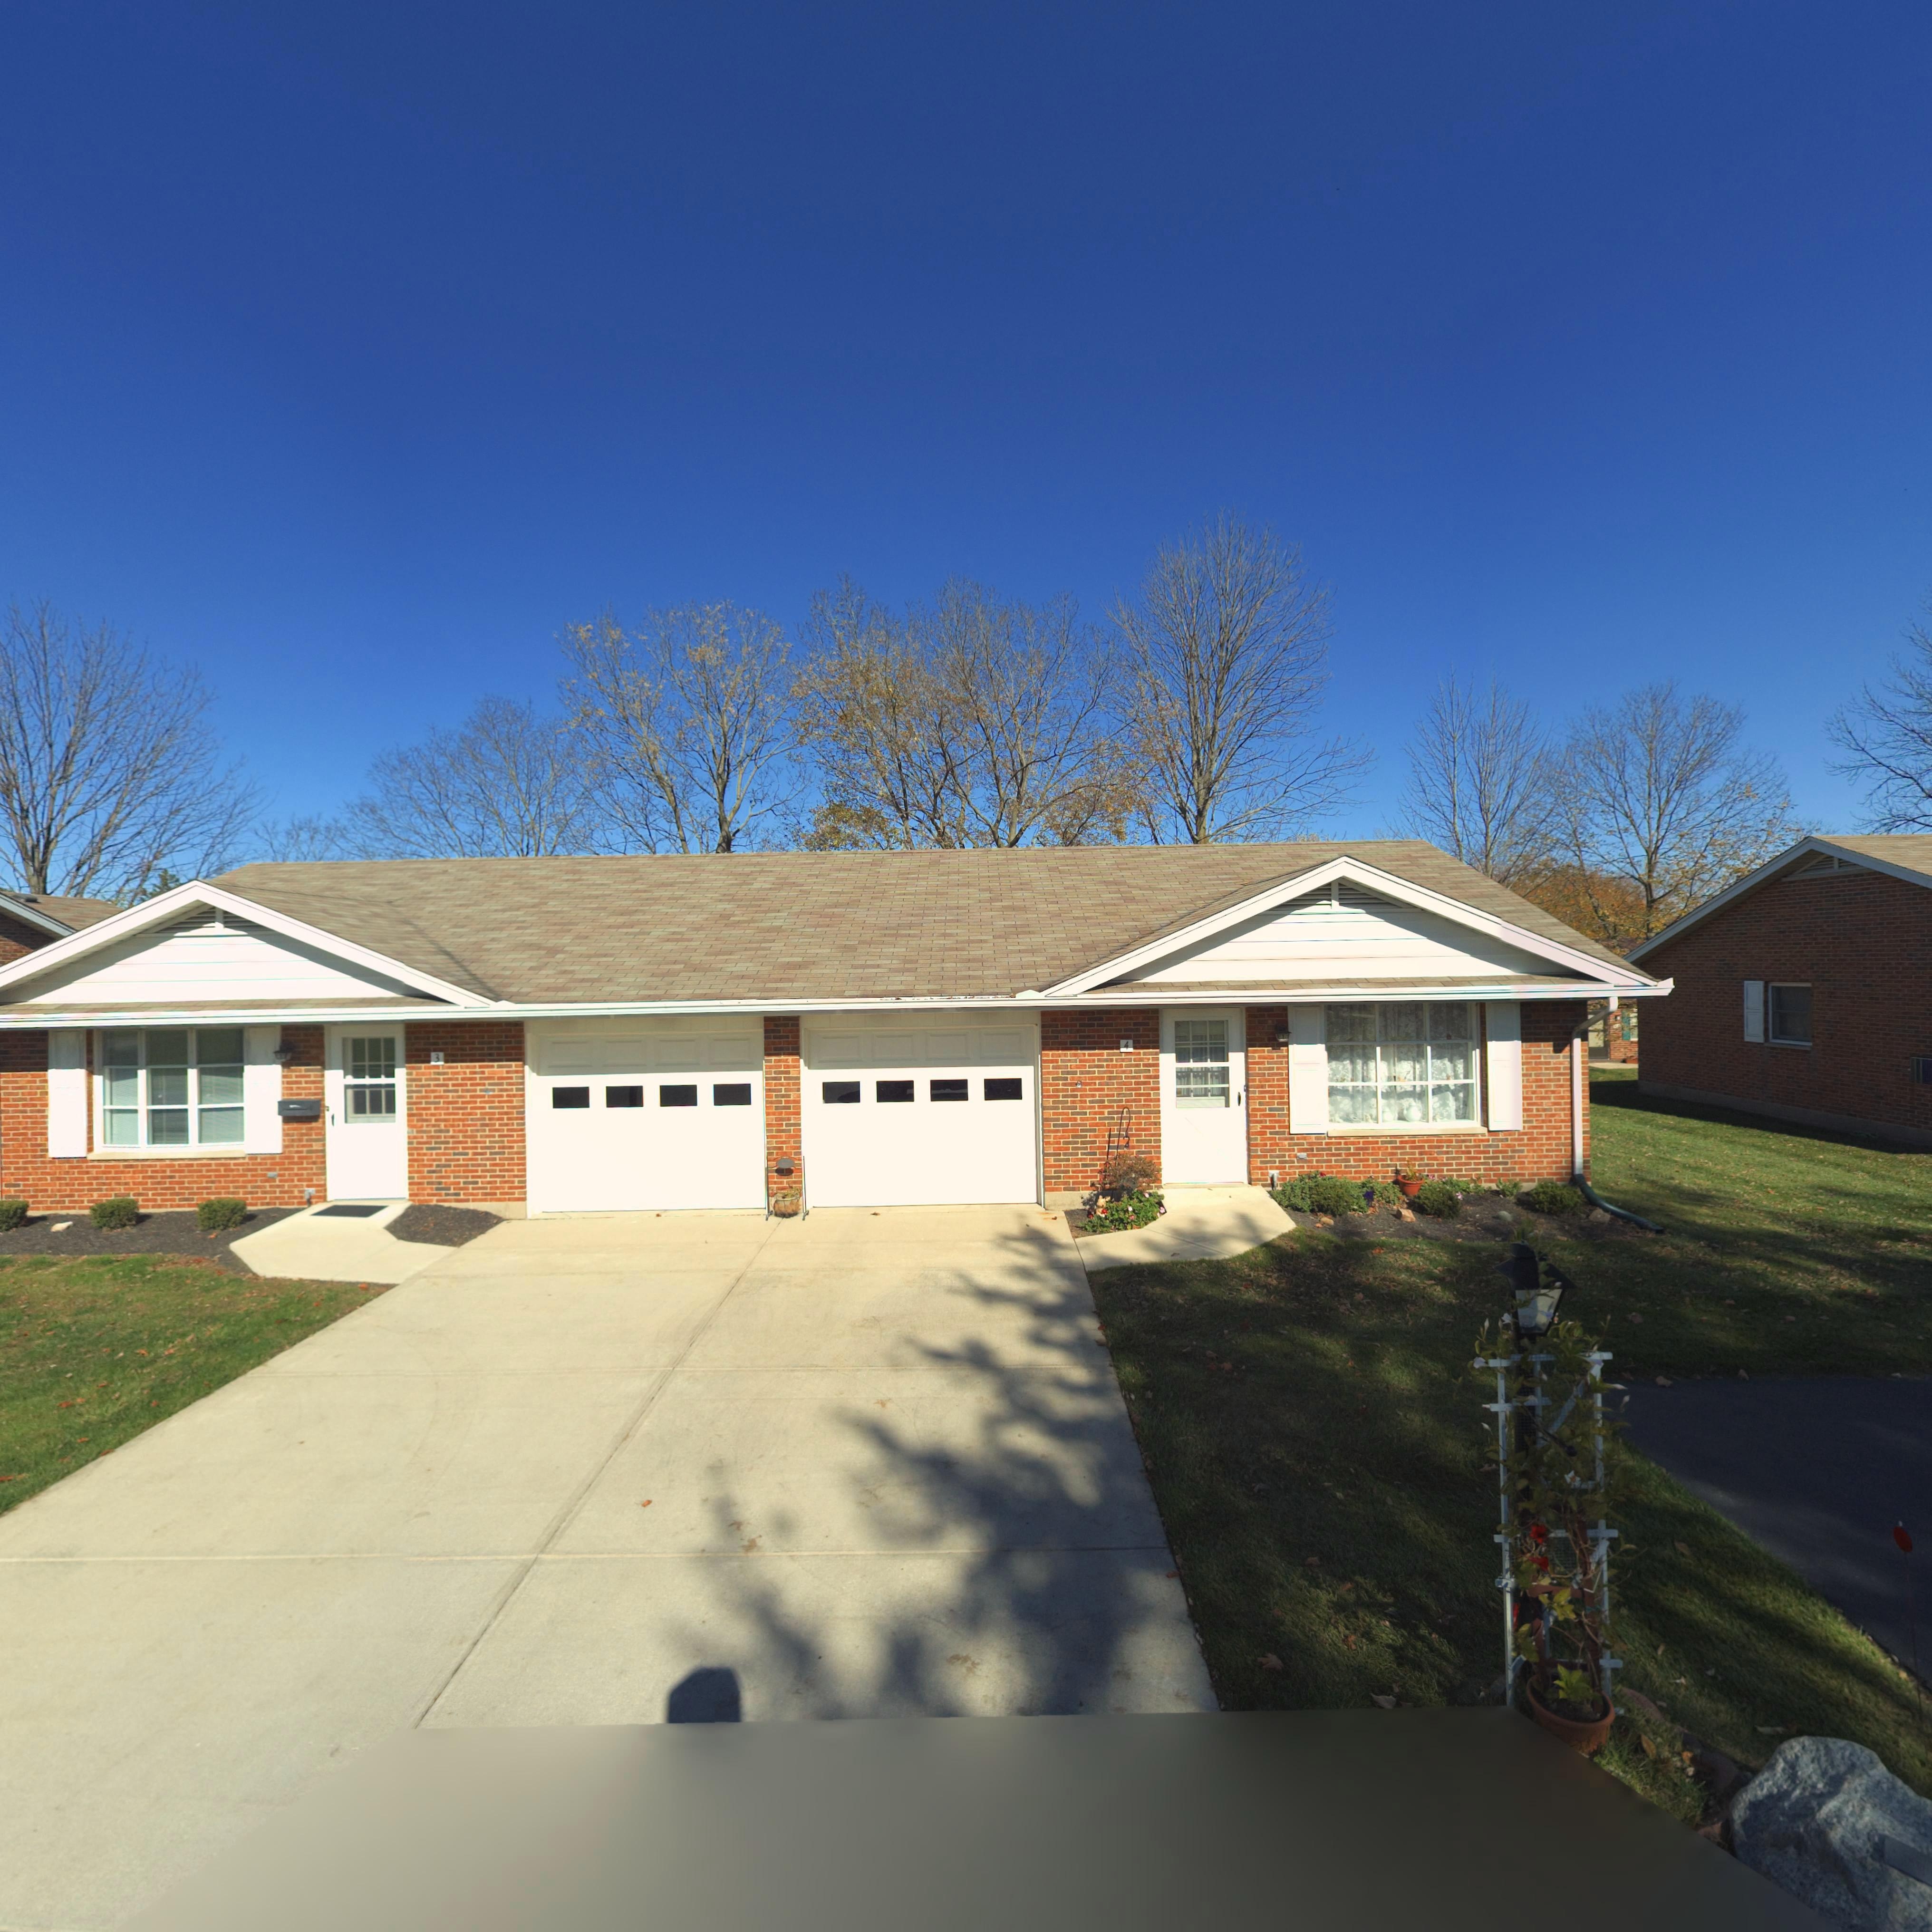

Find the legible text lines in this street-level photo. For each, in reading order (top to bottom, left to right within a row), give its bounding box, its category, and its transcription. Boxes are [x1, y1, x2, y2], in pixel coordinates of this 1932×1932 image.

[1123, 1040, 1130, 1050] StreetNumber: 4
[433, 1052, 441, 1063] StreetNumber: 3